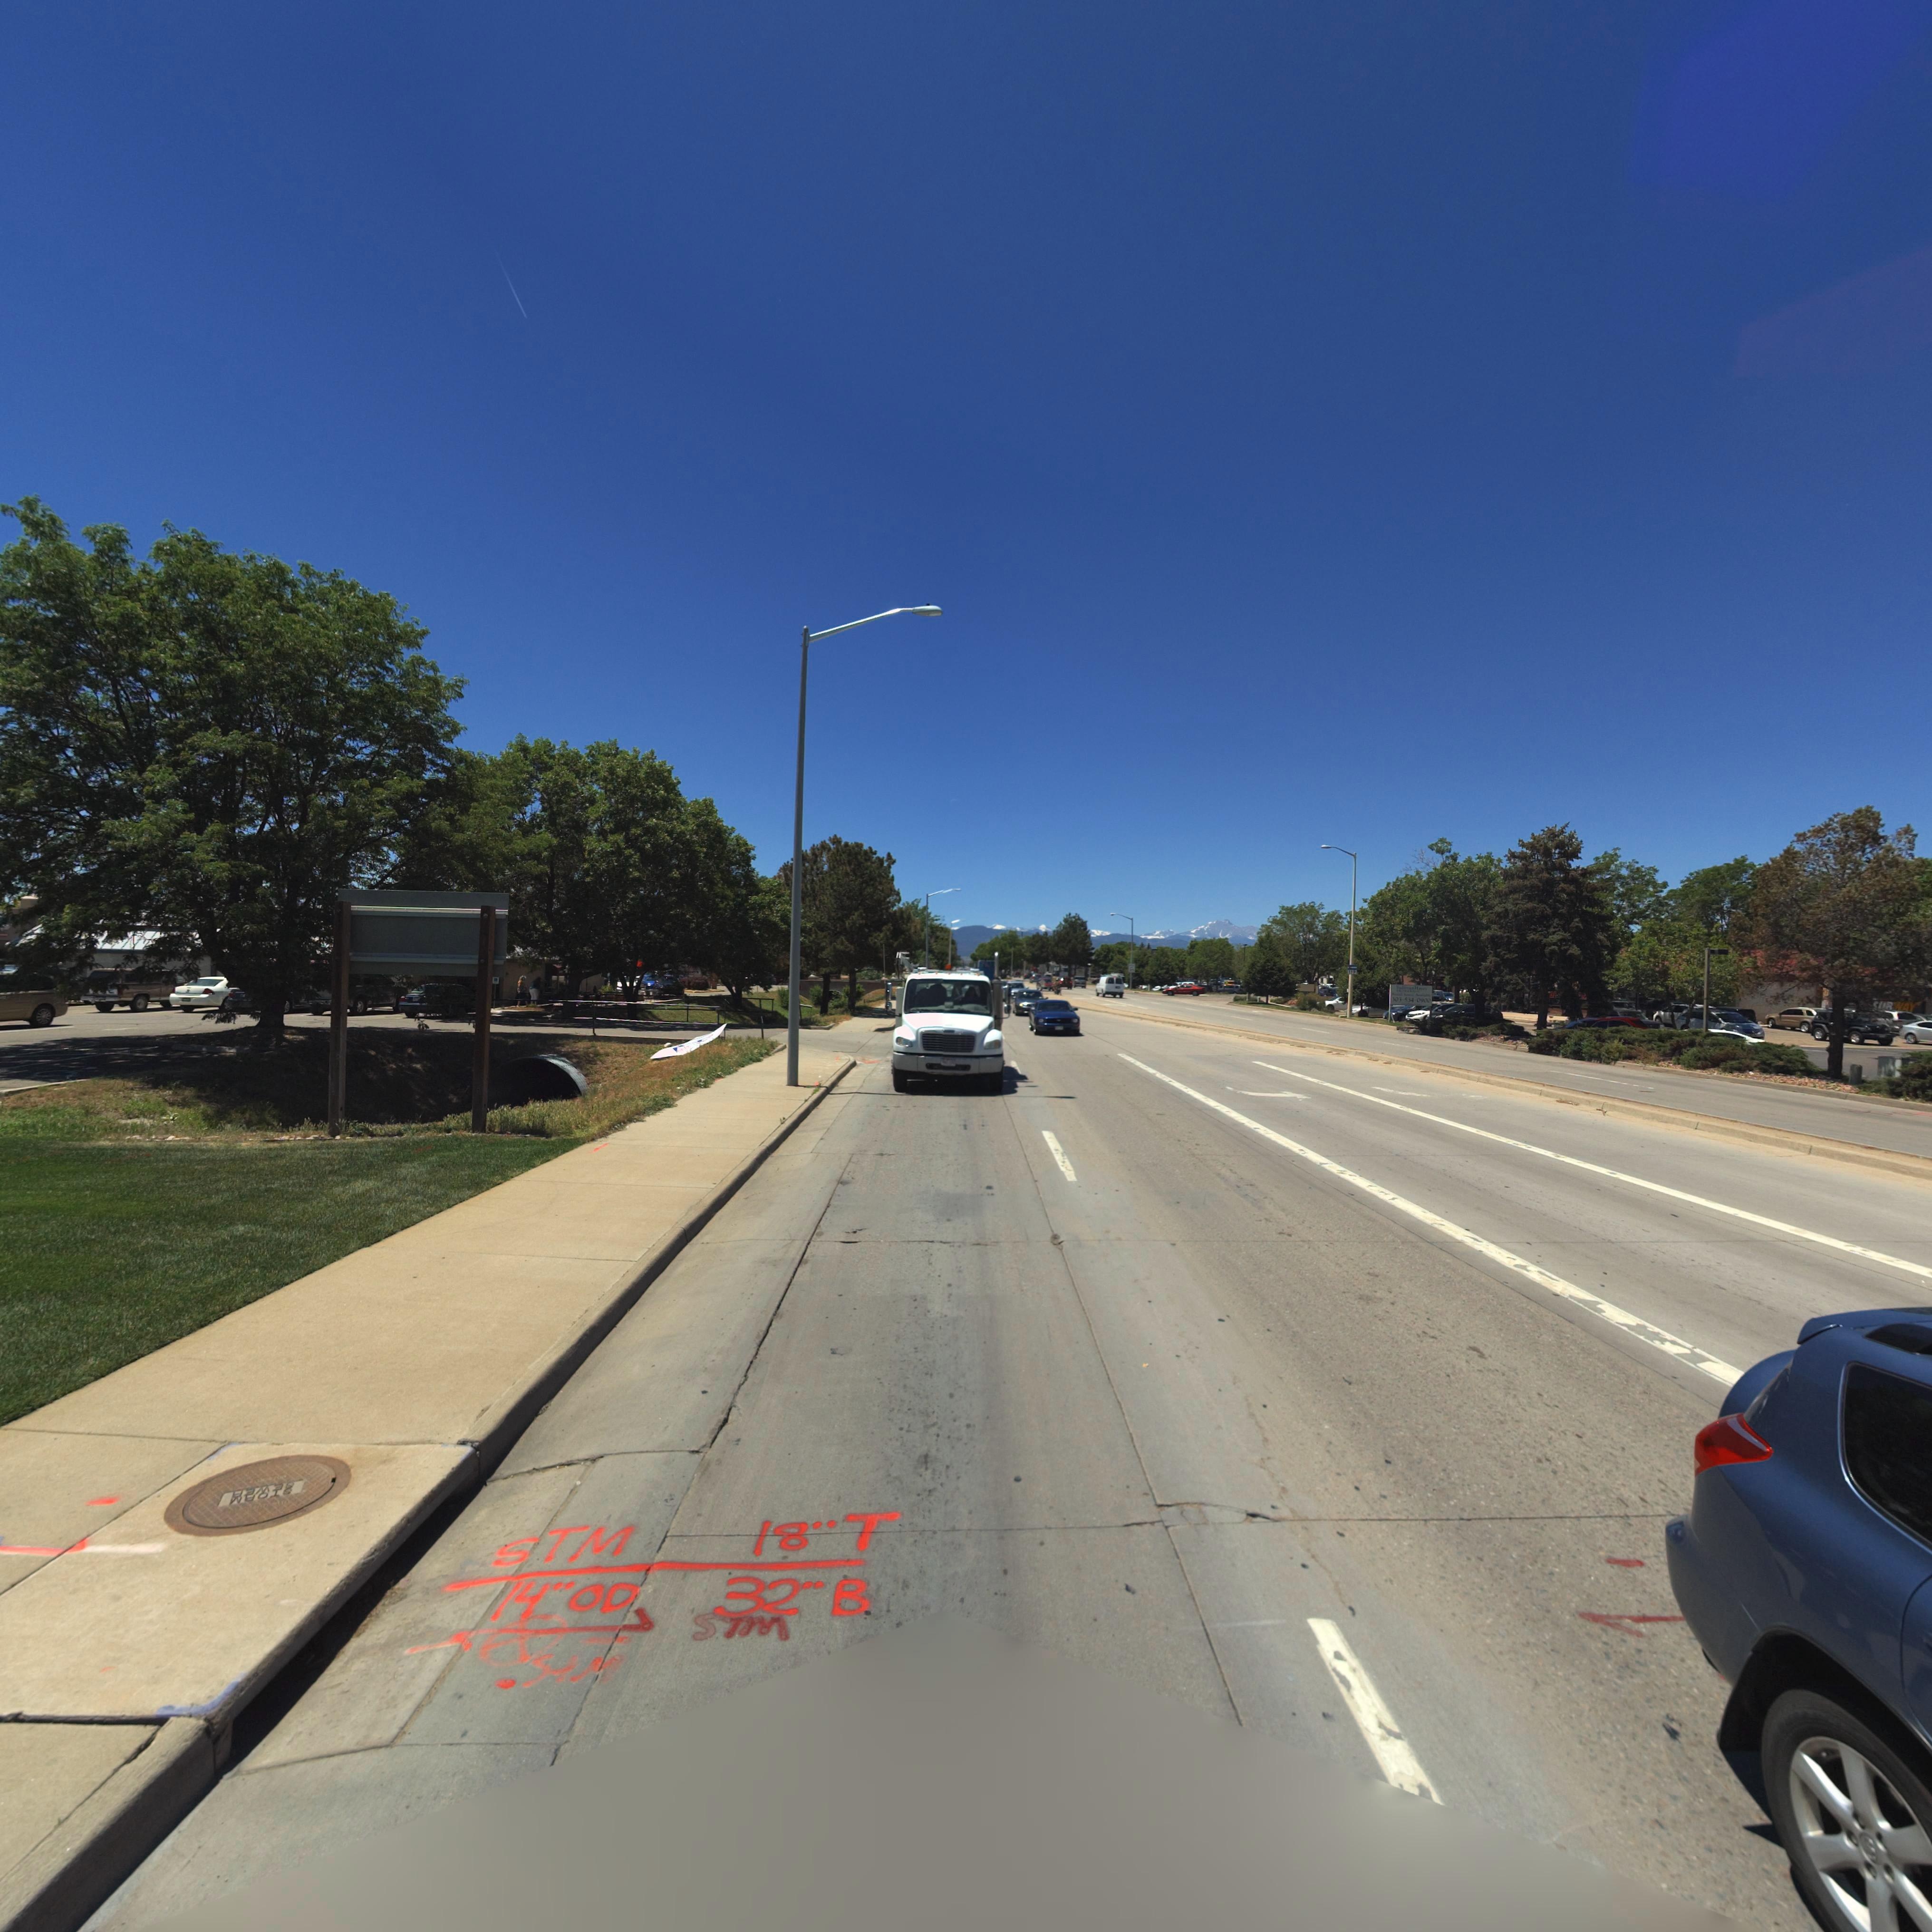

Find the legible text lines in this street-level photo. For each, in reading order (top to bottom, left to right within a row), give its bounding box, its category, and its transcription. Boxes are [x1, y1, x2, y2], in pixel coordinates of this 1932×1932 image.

[1872, 1000, 1922, 1013] BusinessName: **BWAY